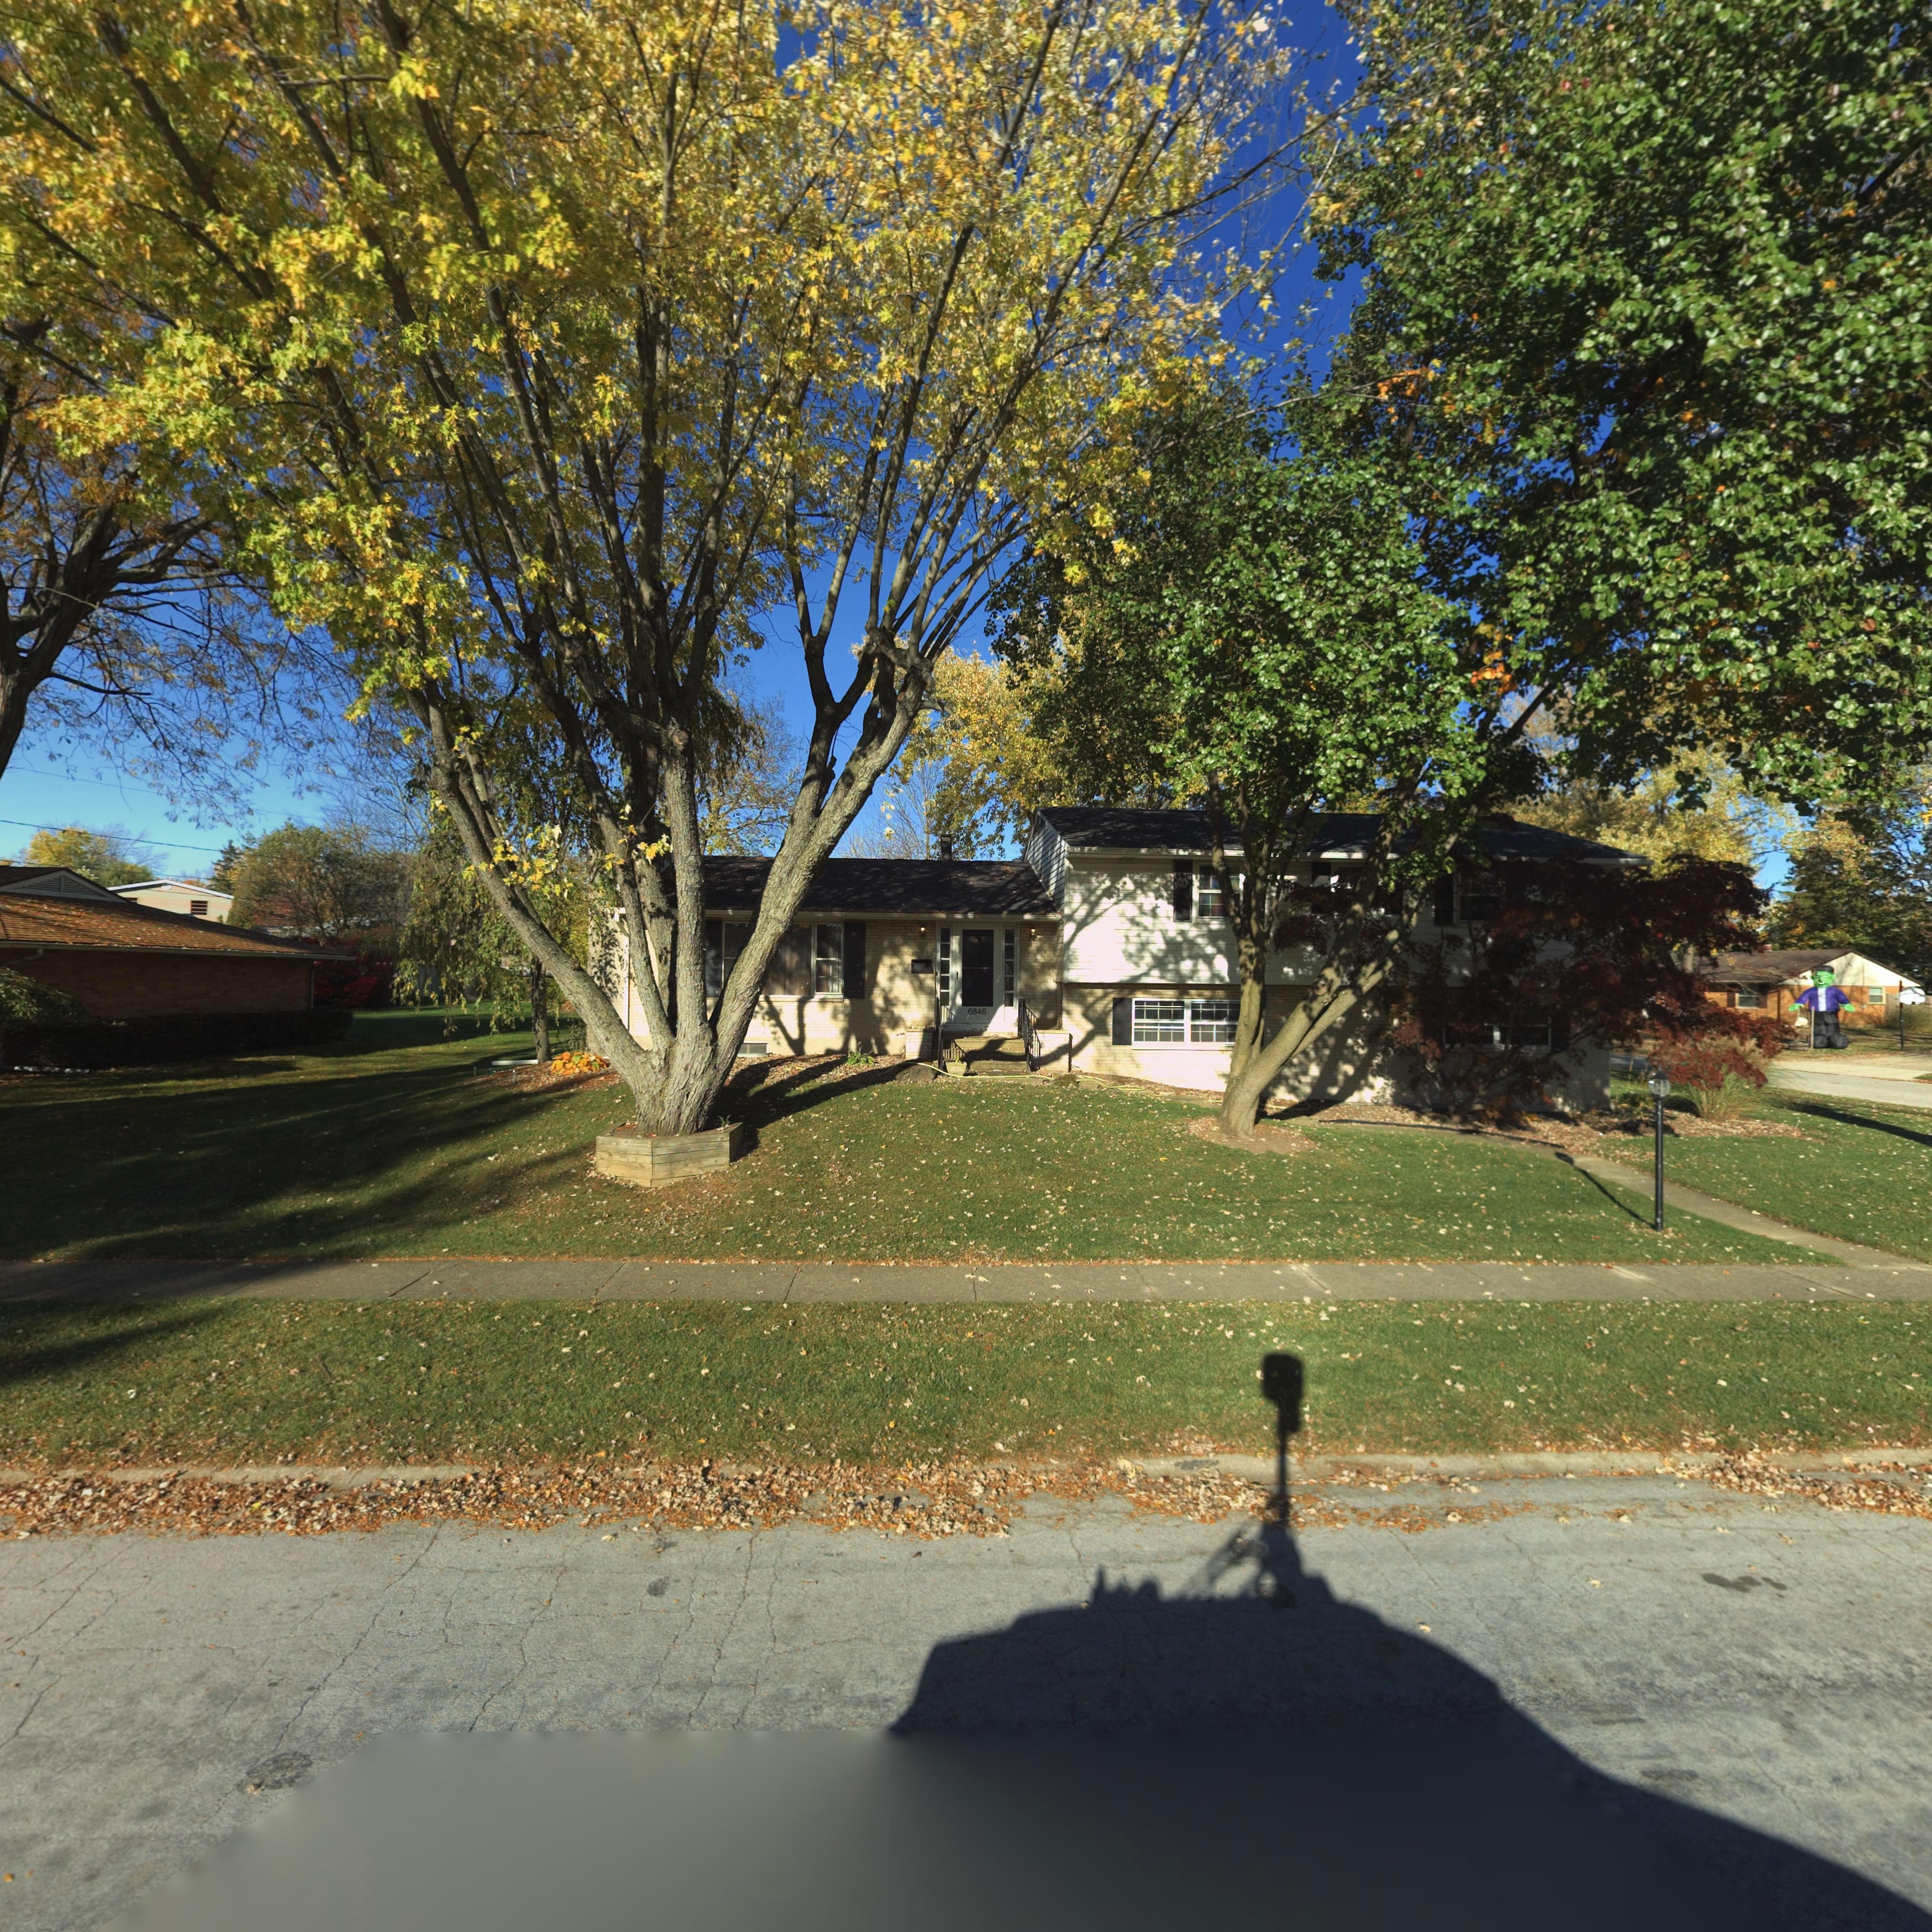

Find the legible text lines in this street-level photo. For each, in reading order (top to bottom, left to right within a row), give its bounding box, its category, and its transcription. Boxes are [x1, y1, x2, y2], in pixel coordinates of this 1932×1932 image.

[967, 1008, 986, 1015] StreetNumber: 6846